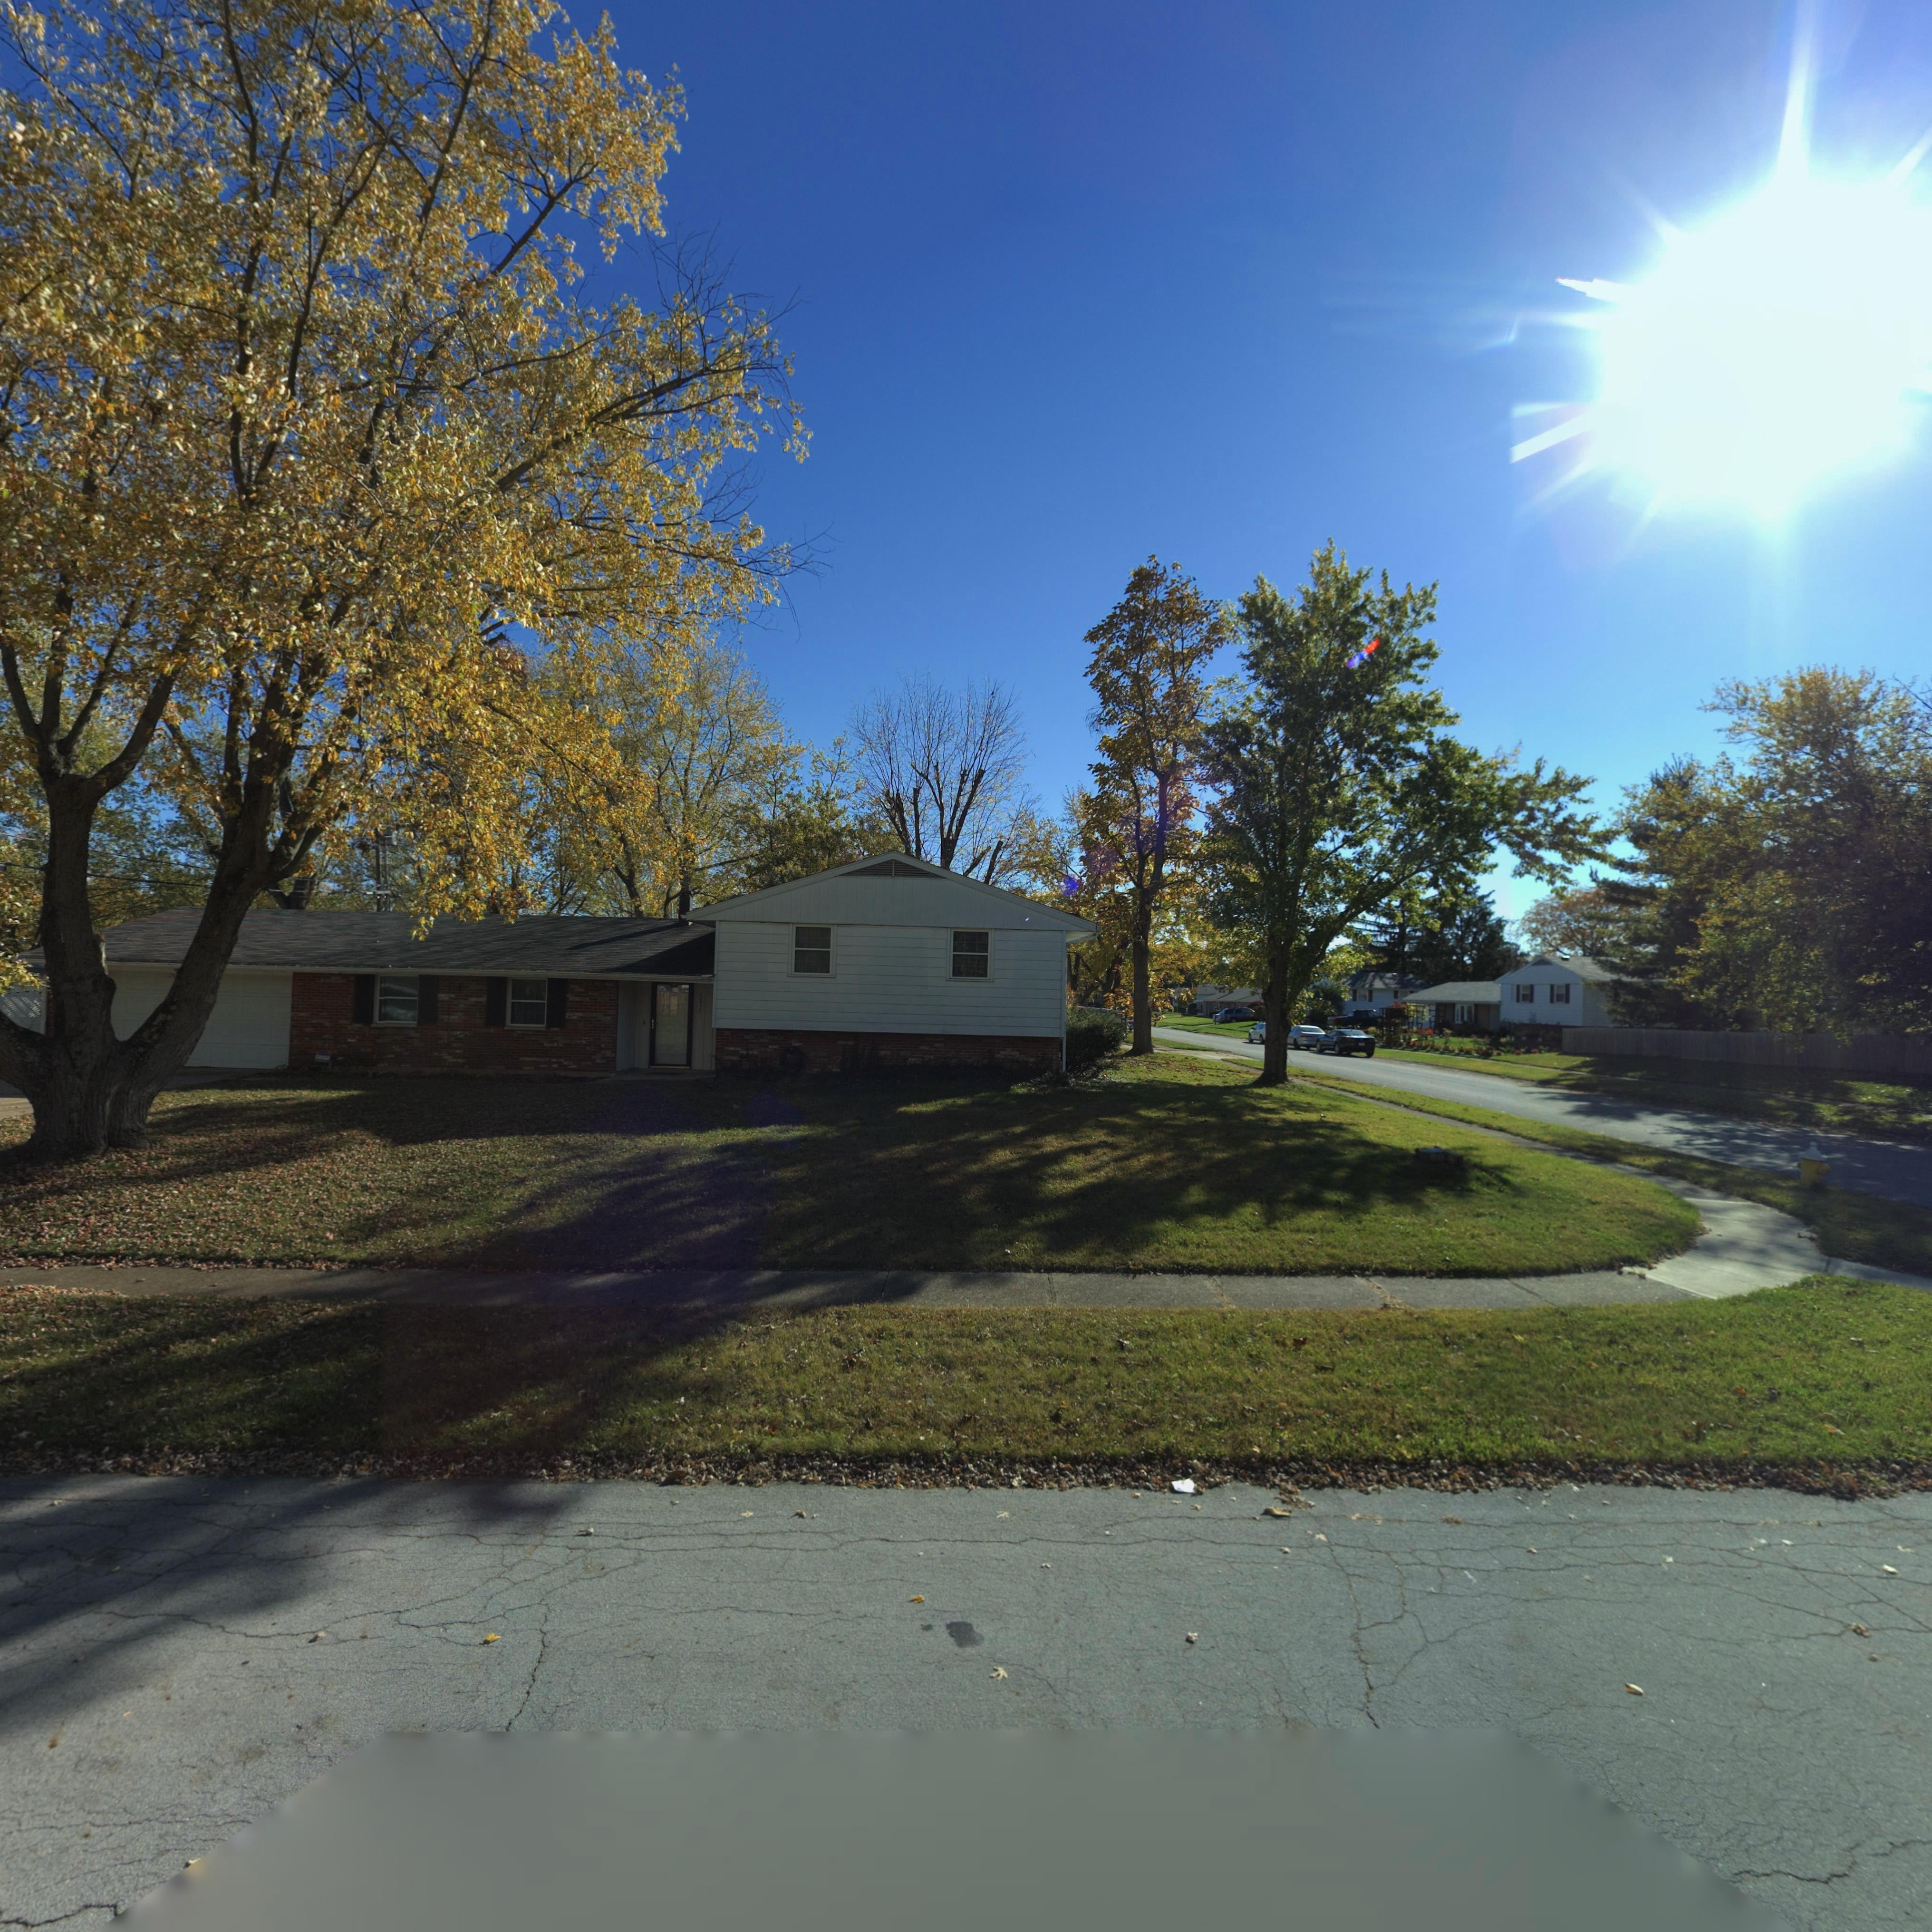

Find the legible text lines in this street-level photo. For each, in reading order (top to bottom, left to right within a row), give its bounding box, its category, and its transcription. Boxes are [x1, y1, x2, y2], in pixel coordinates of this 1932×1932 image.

[698, 992, 703, 1014] StreetNumber: 6855